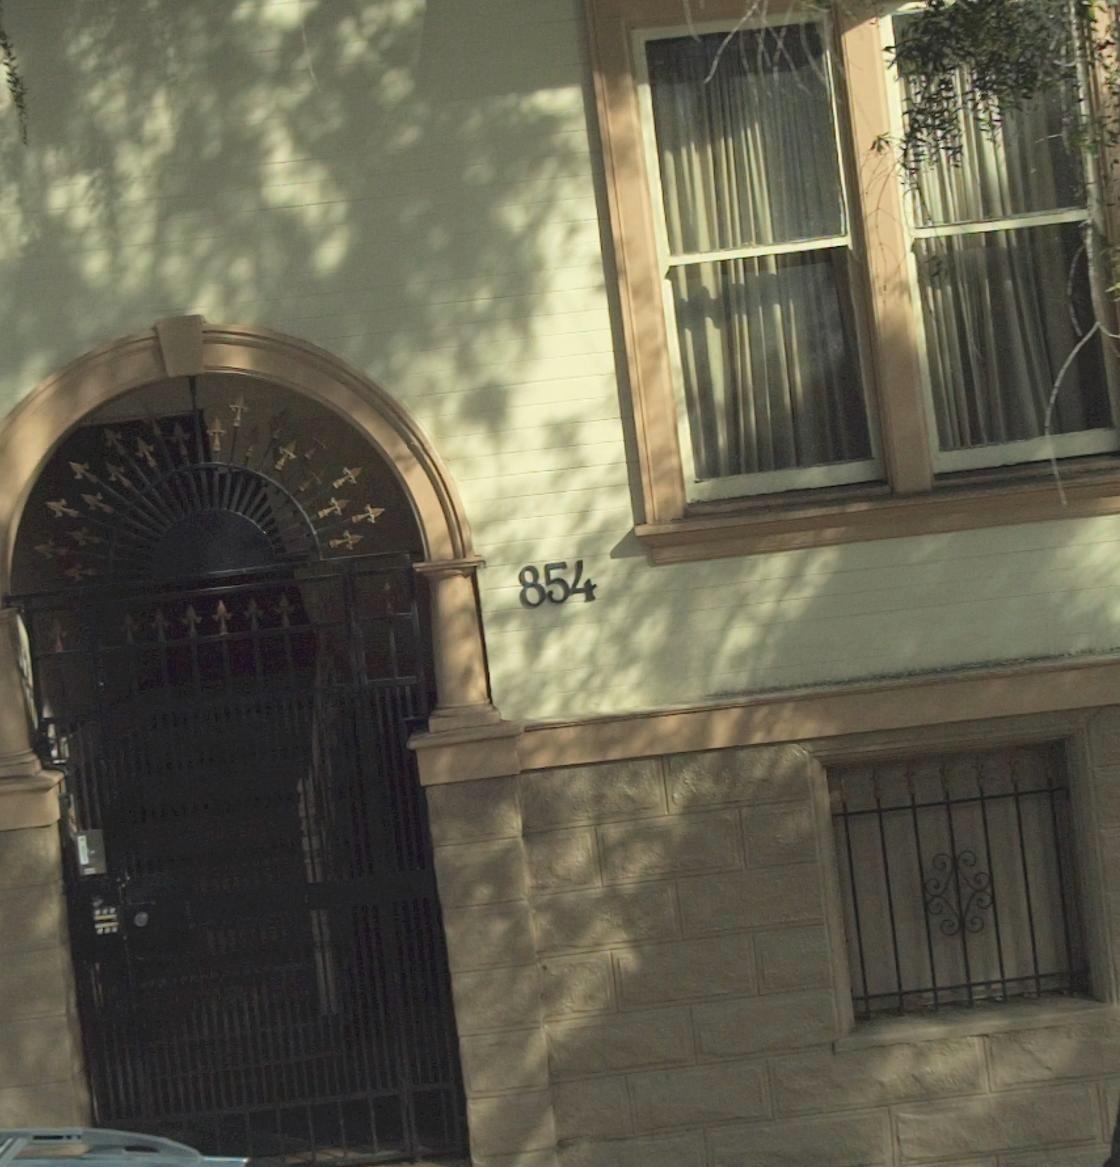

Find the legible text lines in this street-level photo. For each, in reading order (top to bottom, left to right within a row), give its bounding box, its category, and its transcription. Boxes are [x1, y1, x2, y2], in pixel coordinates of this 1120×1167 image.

[516, 554, 603, 611] StreetNumber: 854